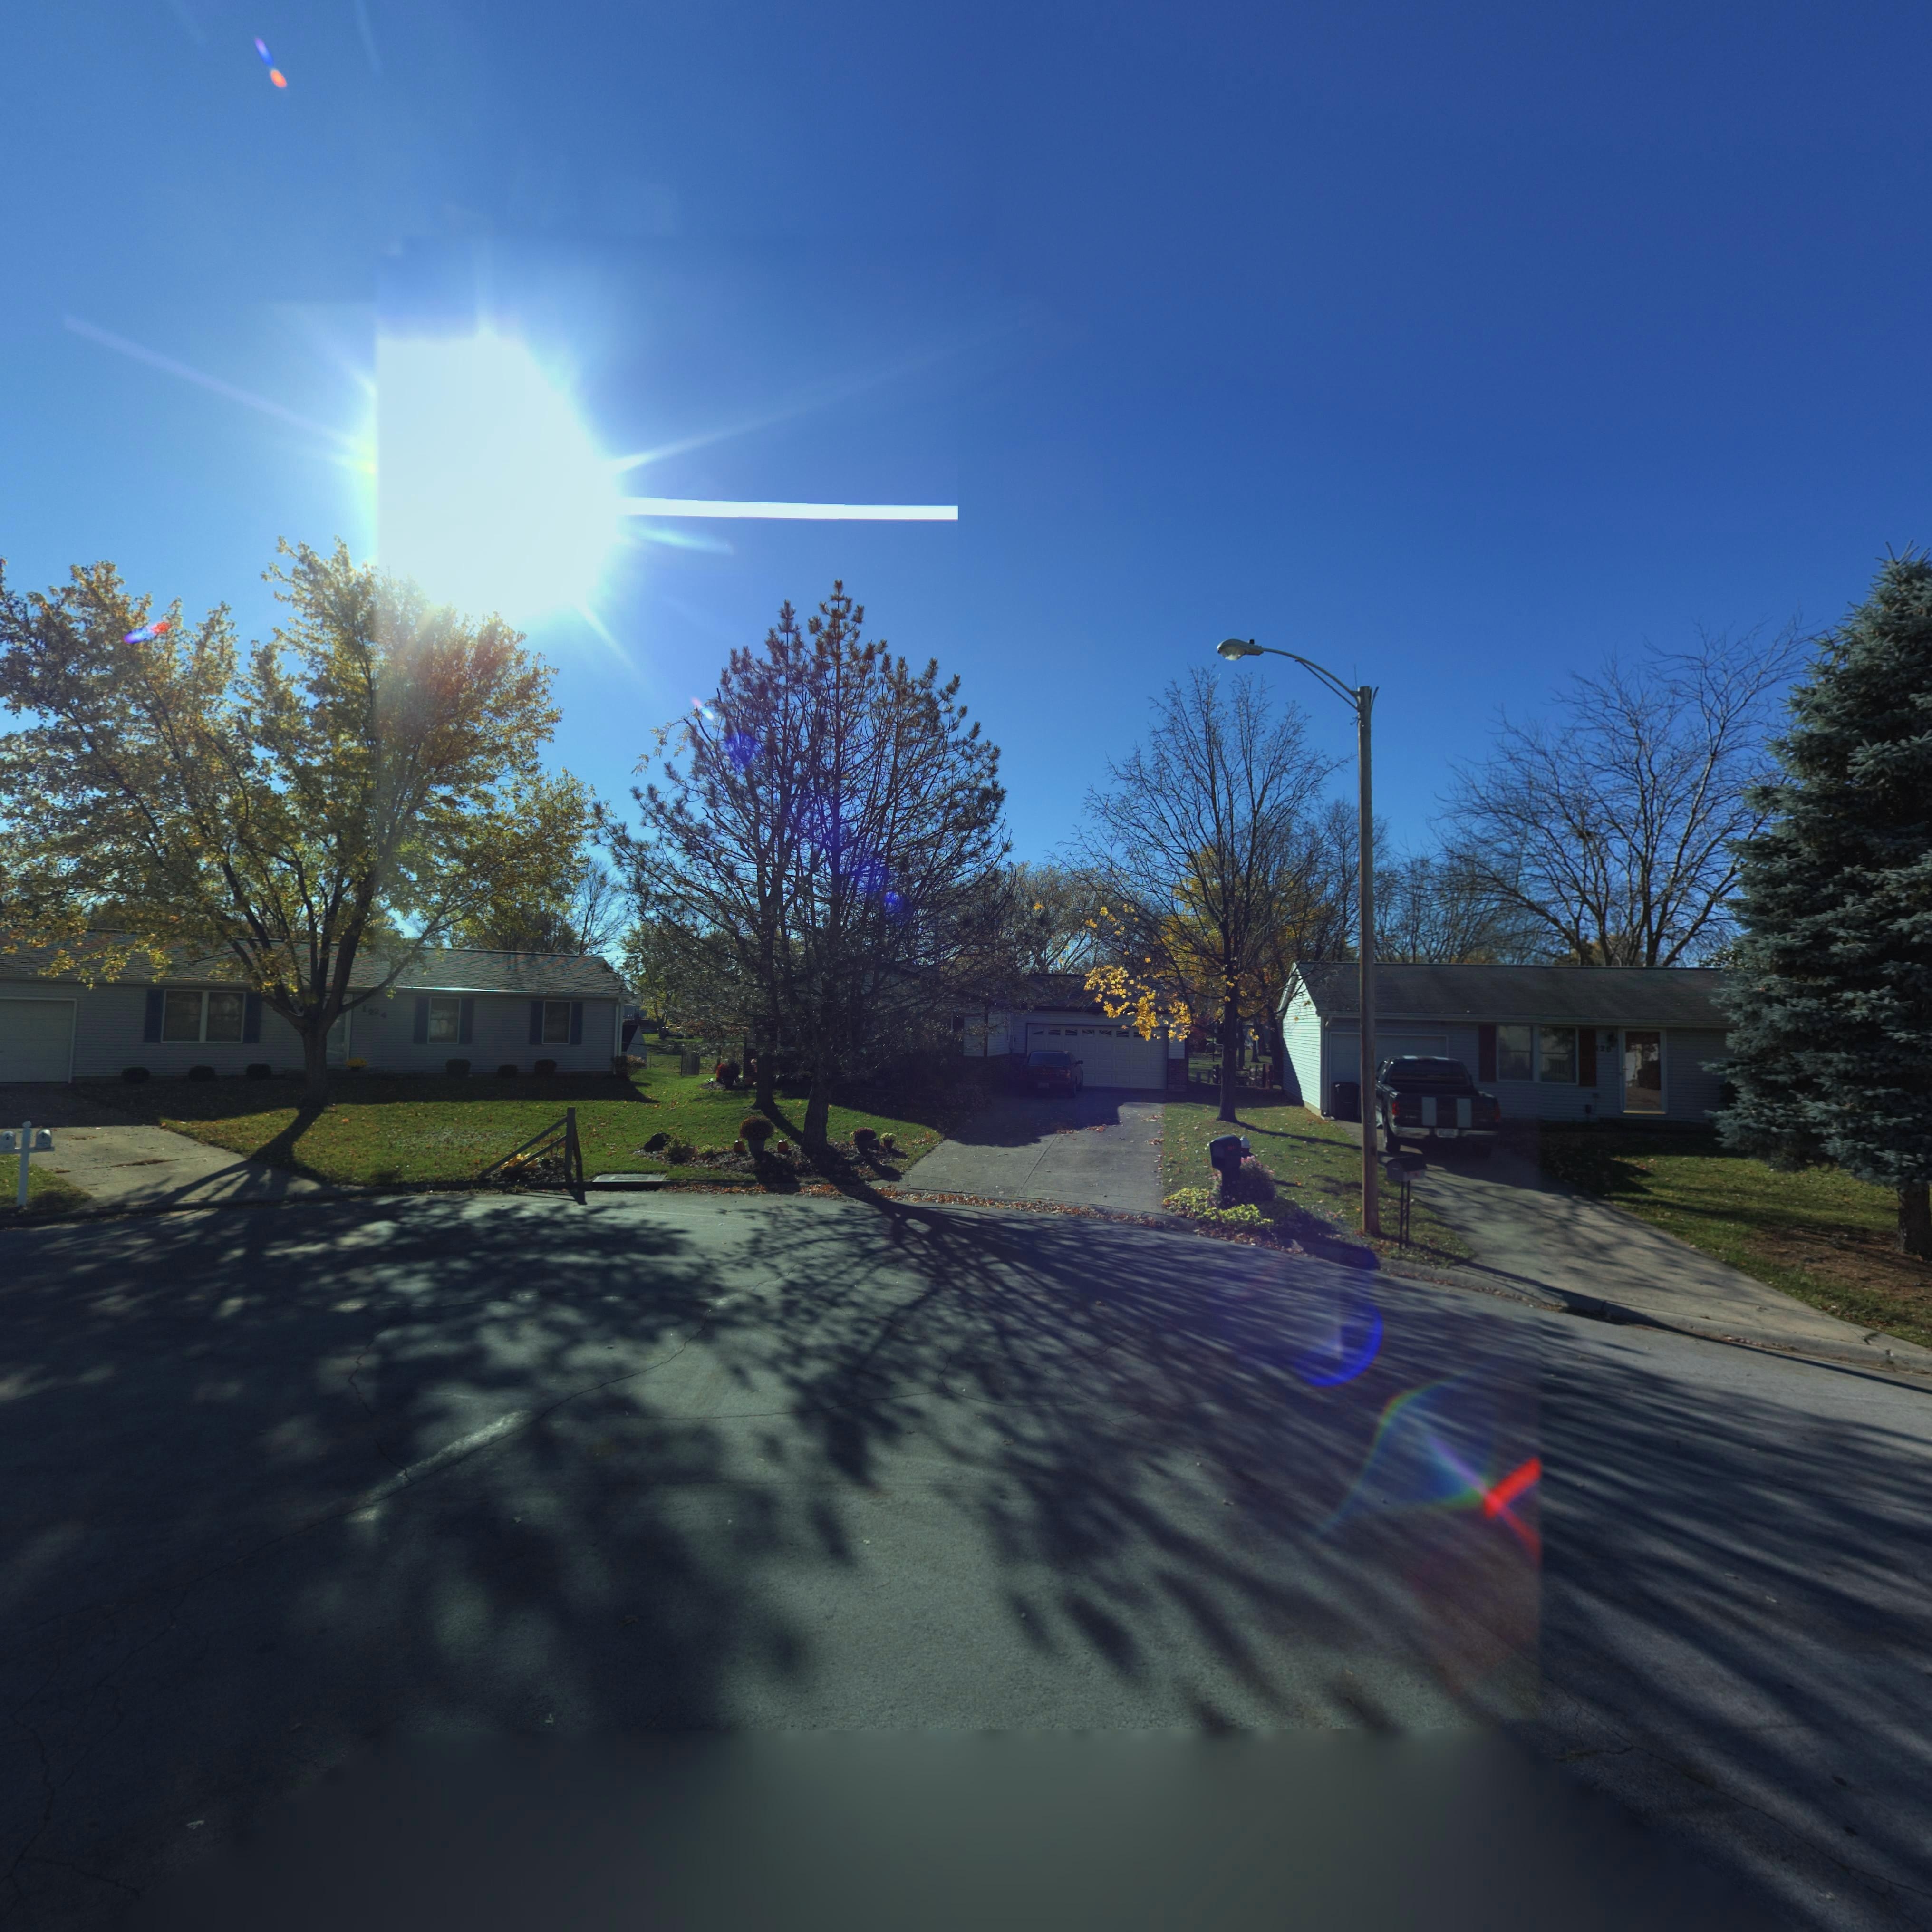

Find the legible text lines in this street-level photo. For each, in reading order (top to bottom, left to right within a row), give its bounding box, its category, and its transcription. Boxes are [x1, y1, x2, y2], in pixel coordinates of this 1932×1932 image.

[362, 1005, 387, 1020] StreetNumber: 1224
[1595, 1044, 1612, 1053] StreetNumber: 120